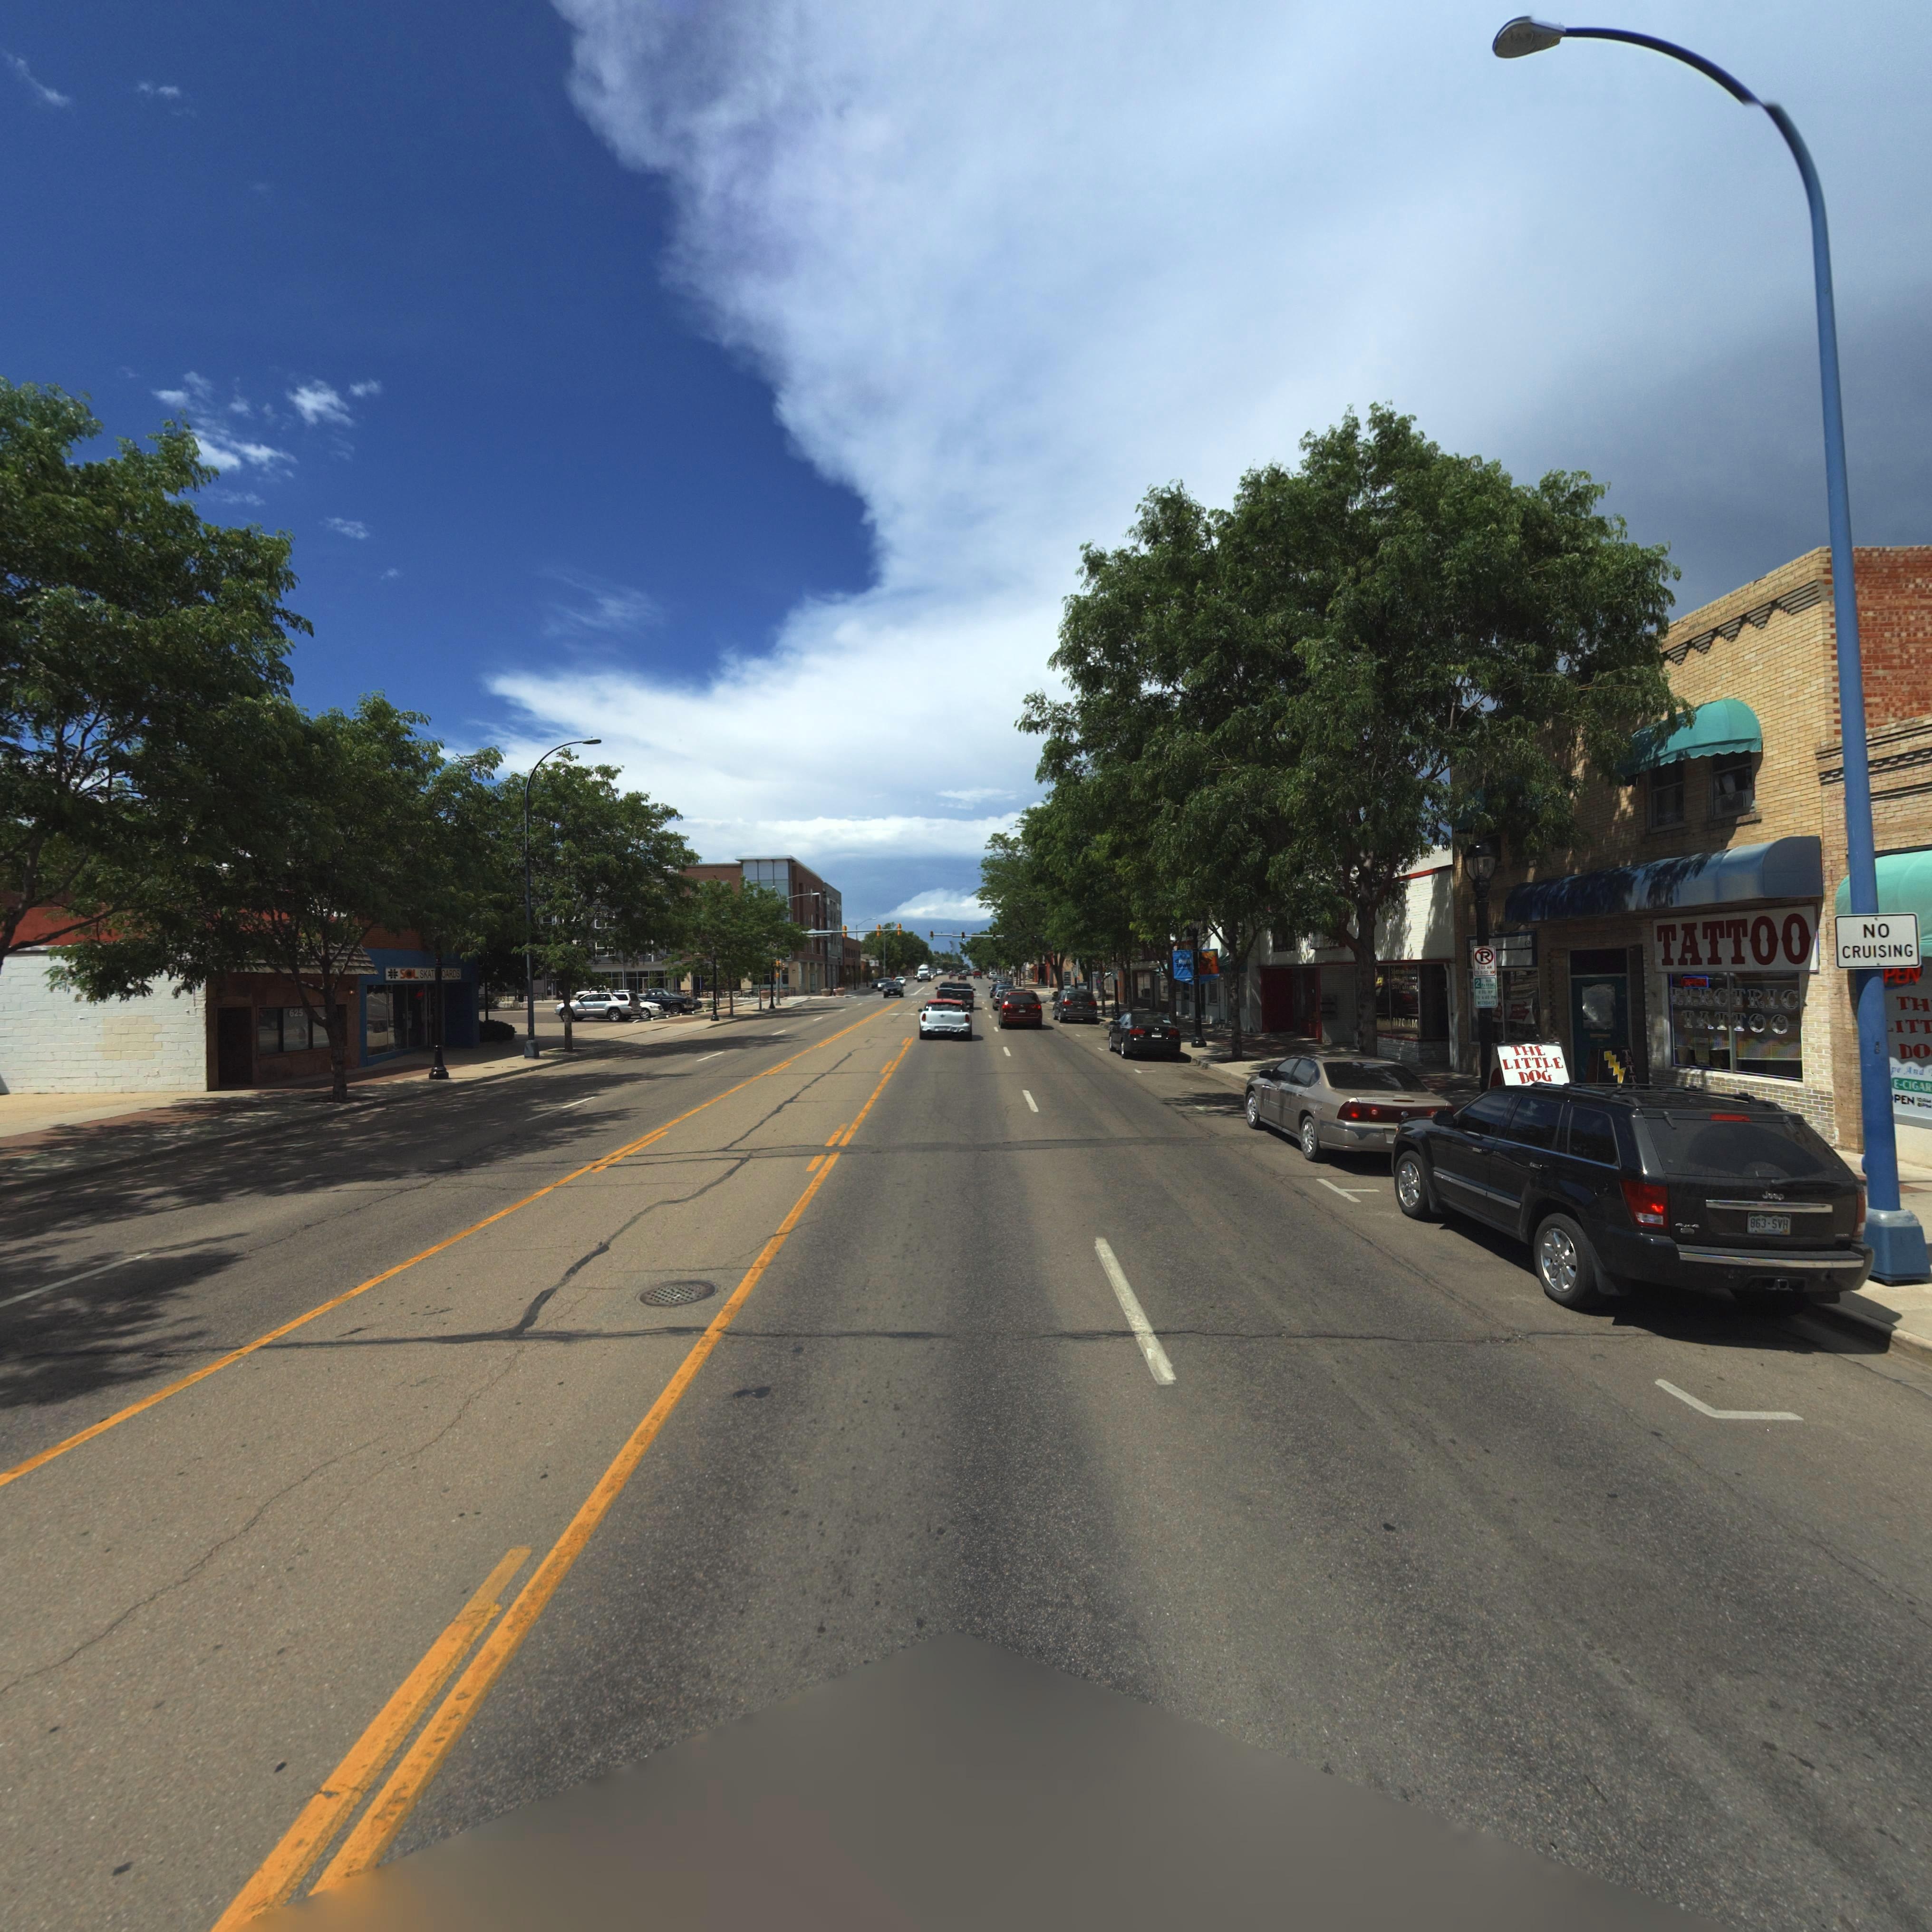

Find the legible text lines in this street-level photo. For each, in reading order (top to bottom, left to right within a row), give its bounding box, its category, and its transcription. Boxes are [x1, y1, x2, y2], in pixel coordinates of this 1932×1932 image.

[399, 968, 461, 979] BusinessName: SOL SKAT**OARDS
[1668, 985, 1799, 1011] BusinessName: ELECTRIC
[1895, 995, 1930, 1012] BusinessName: TH
[289, 1008, 303, 1017] StreetNumber: 625
[1680, 1009, 1789, 1035] BusinessName: TATOO
[1886, 1019, 1931, 1034] BusinessName: *ITT
[1509, 1044, 1546, 1056] BusinessName: THE
[1898, 1043, 1931, 1059] BusinessName: DO
[1501, 1056, 1564, 1070] BusinessName: LITTLE
[1517, 1069, 1553, 1085] BusinessName: DOG